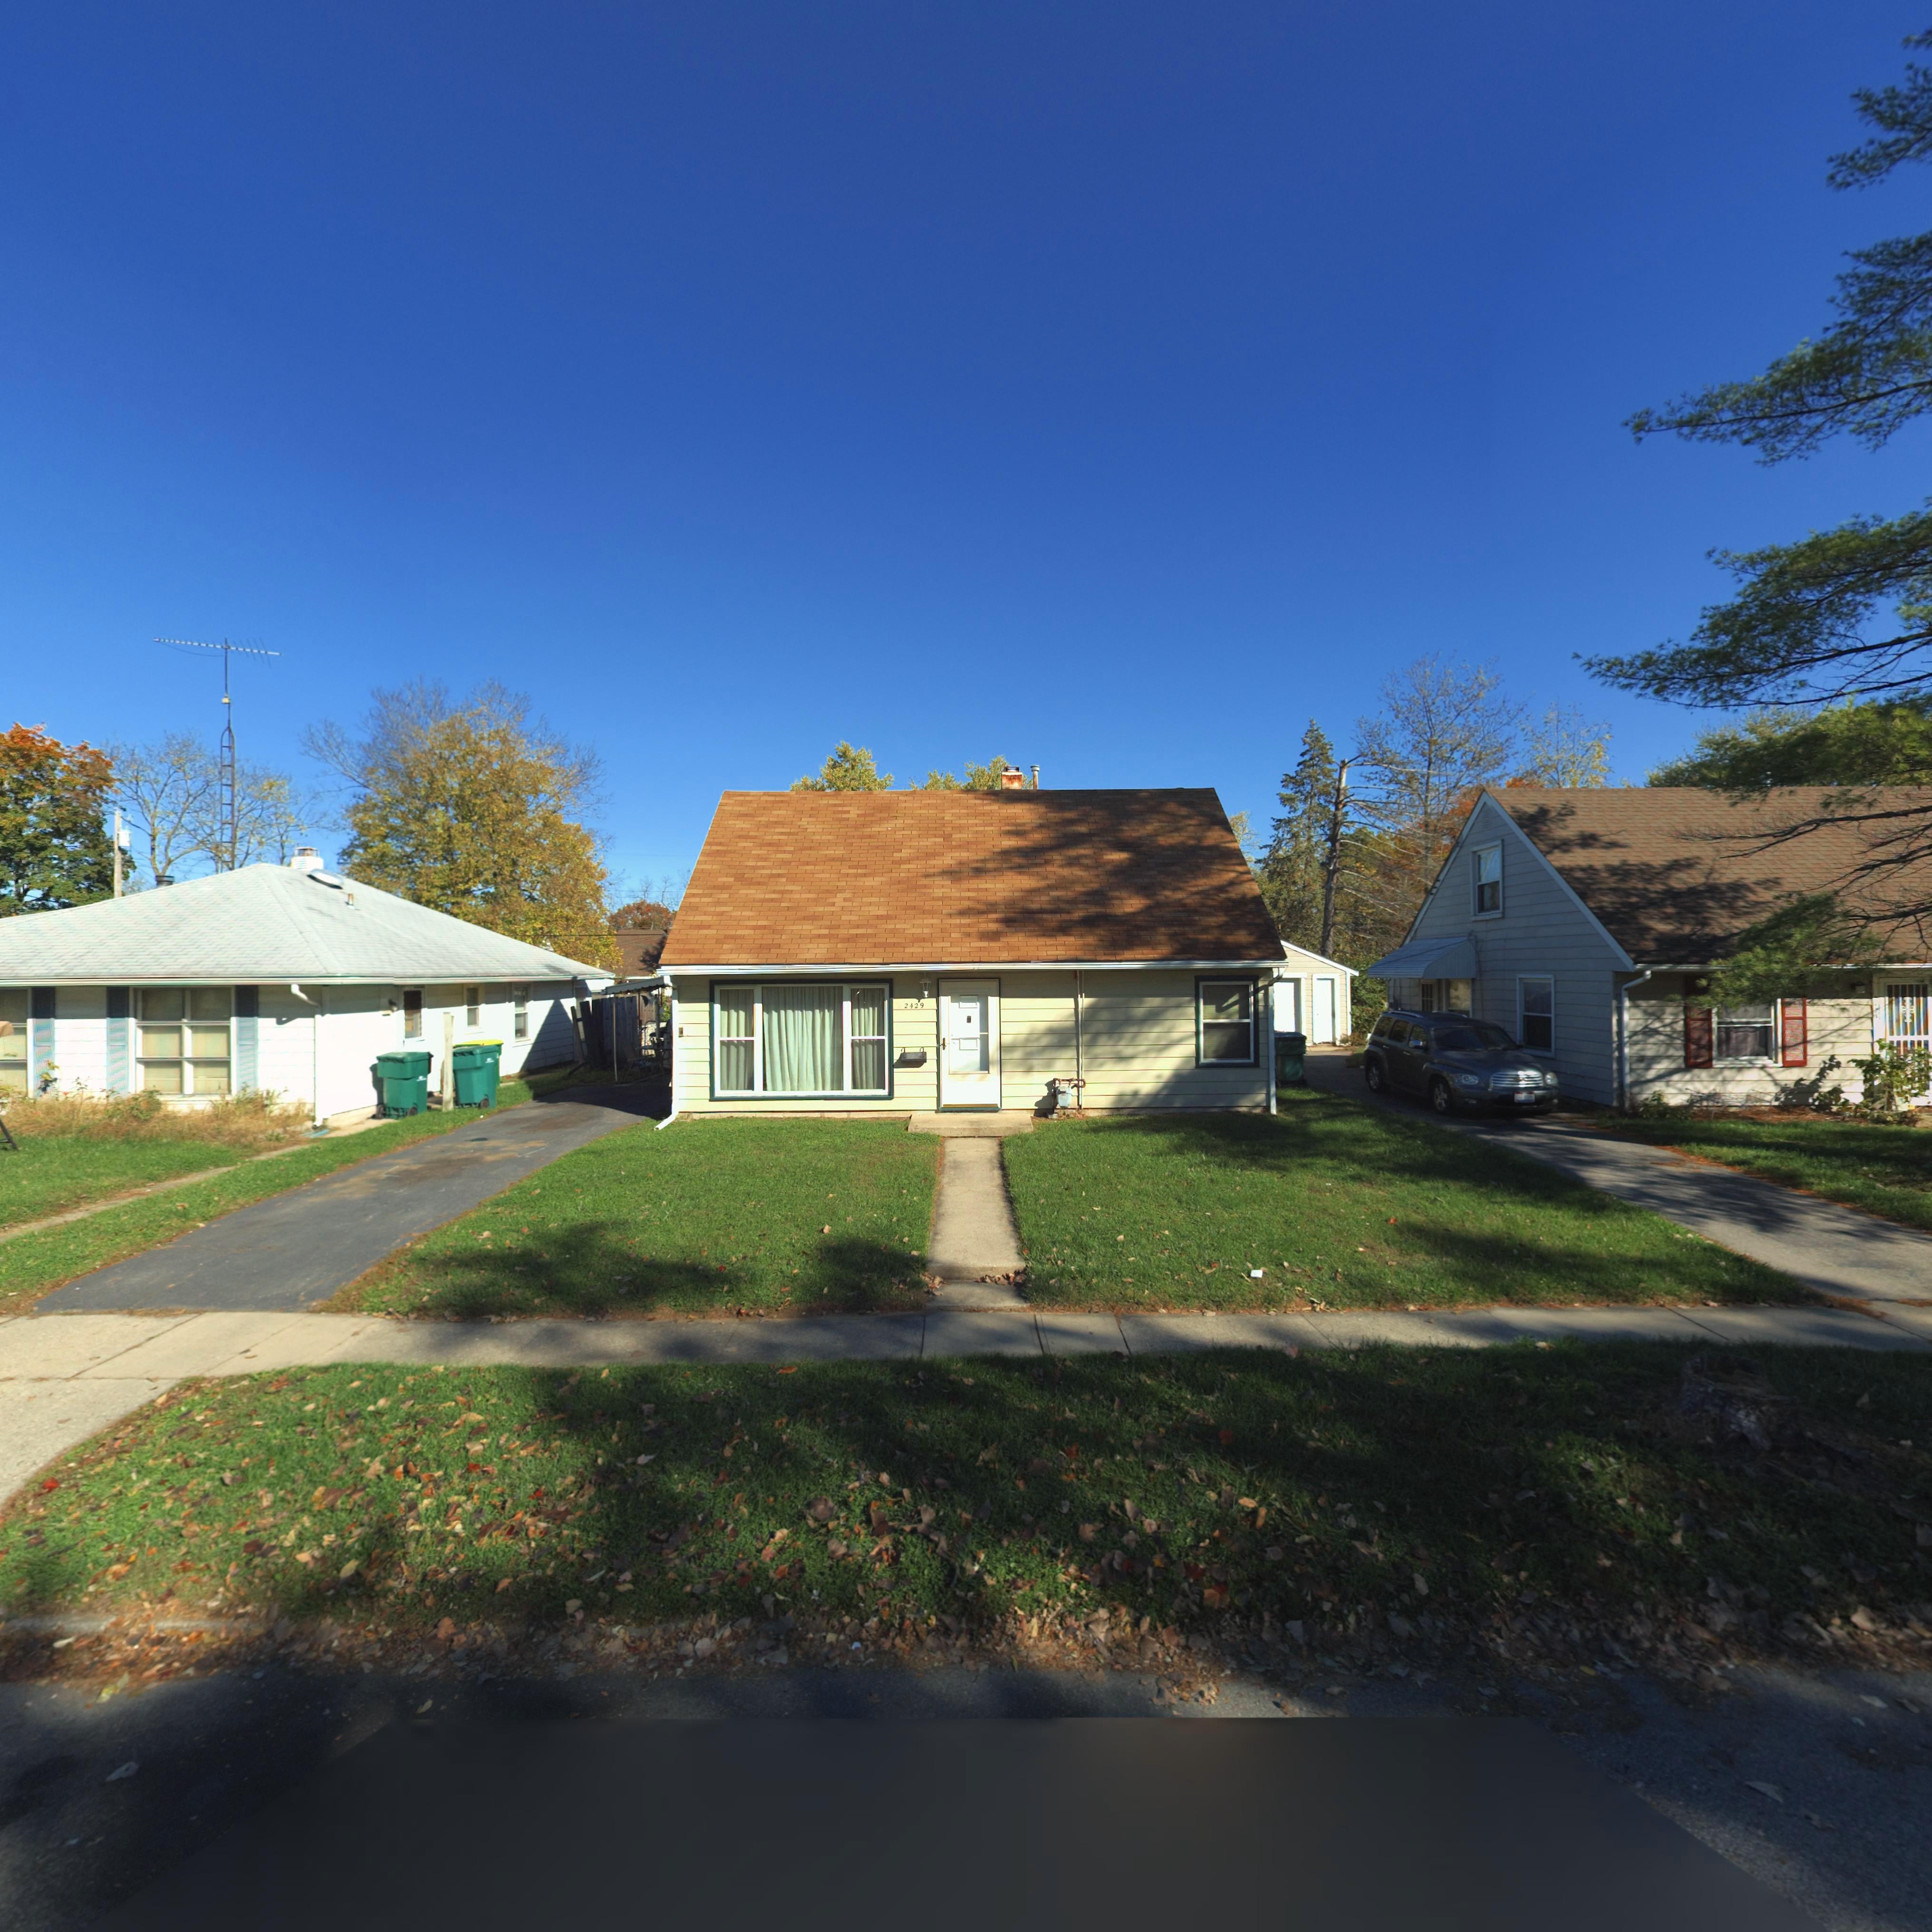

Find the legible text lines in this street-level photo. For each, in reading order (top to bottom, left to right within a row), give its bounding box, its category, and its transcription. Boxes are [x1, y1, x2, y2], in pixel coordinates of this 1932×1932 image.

[904, 1002, 924, 1009] StreetNumber: 2429